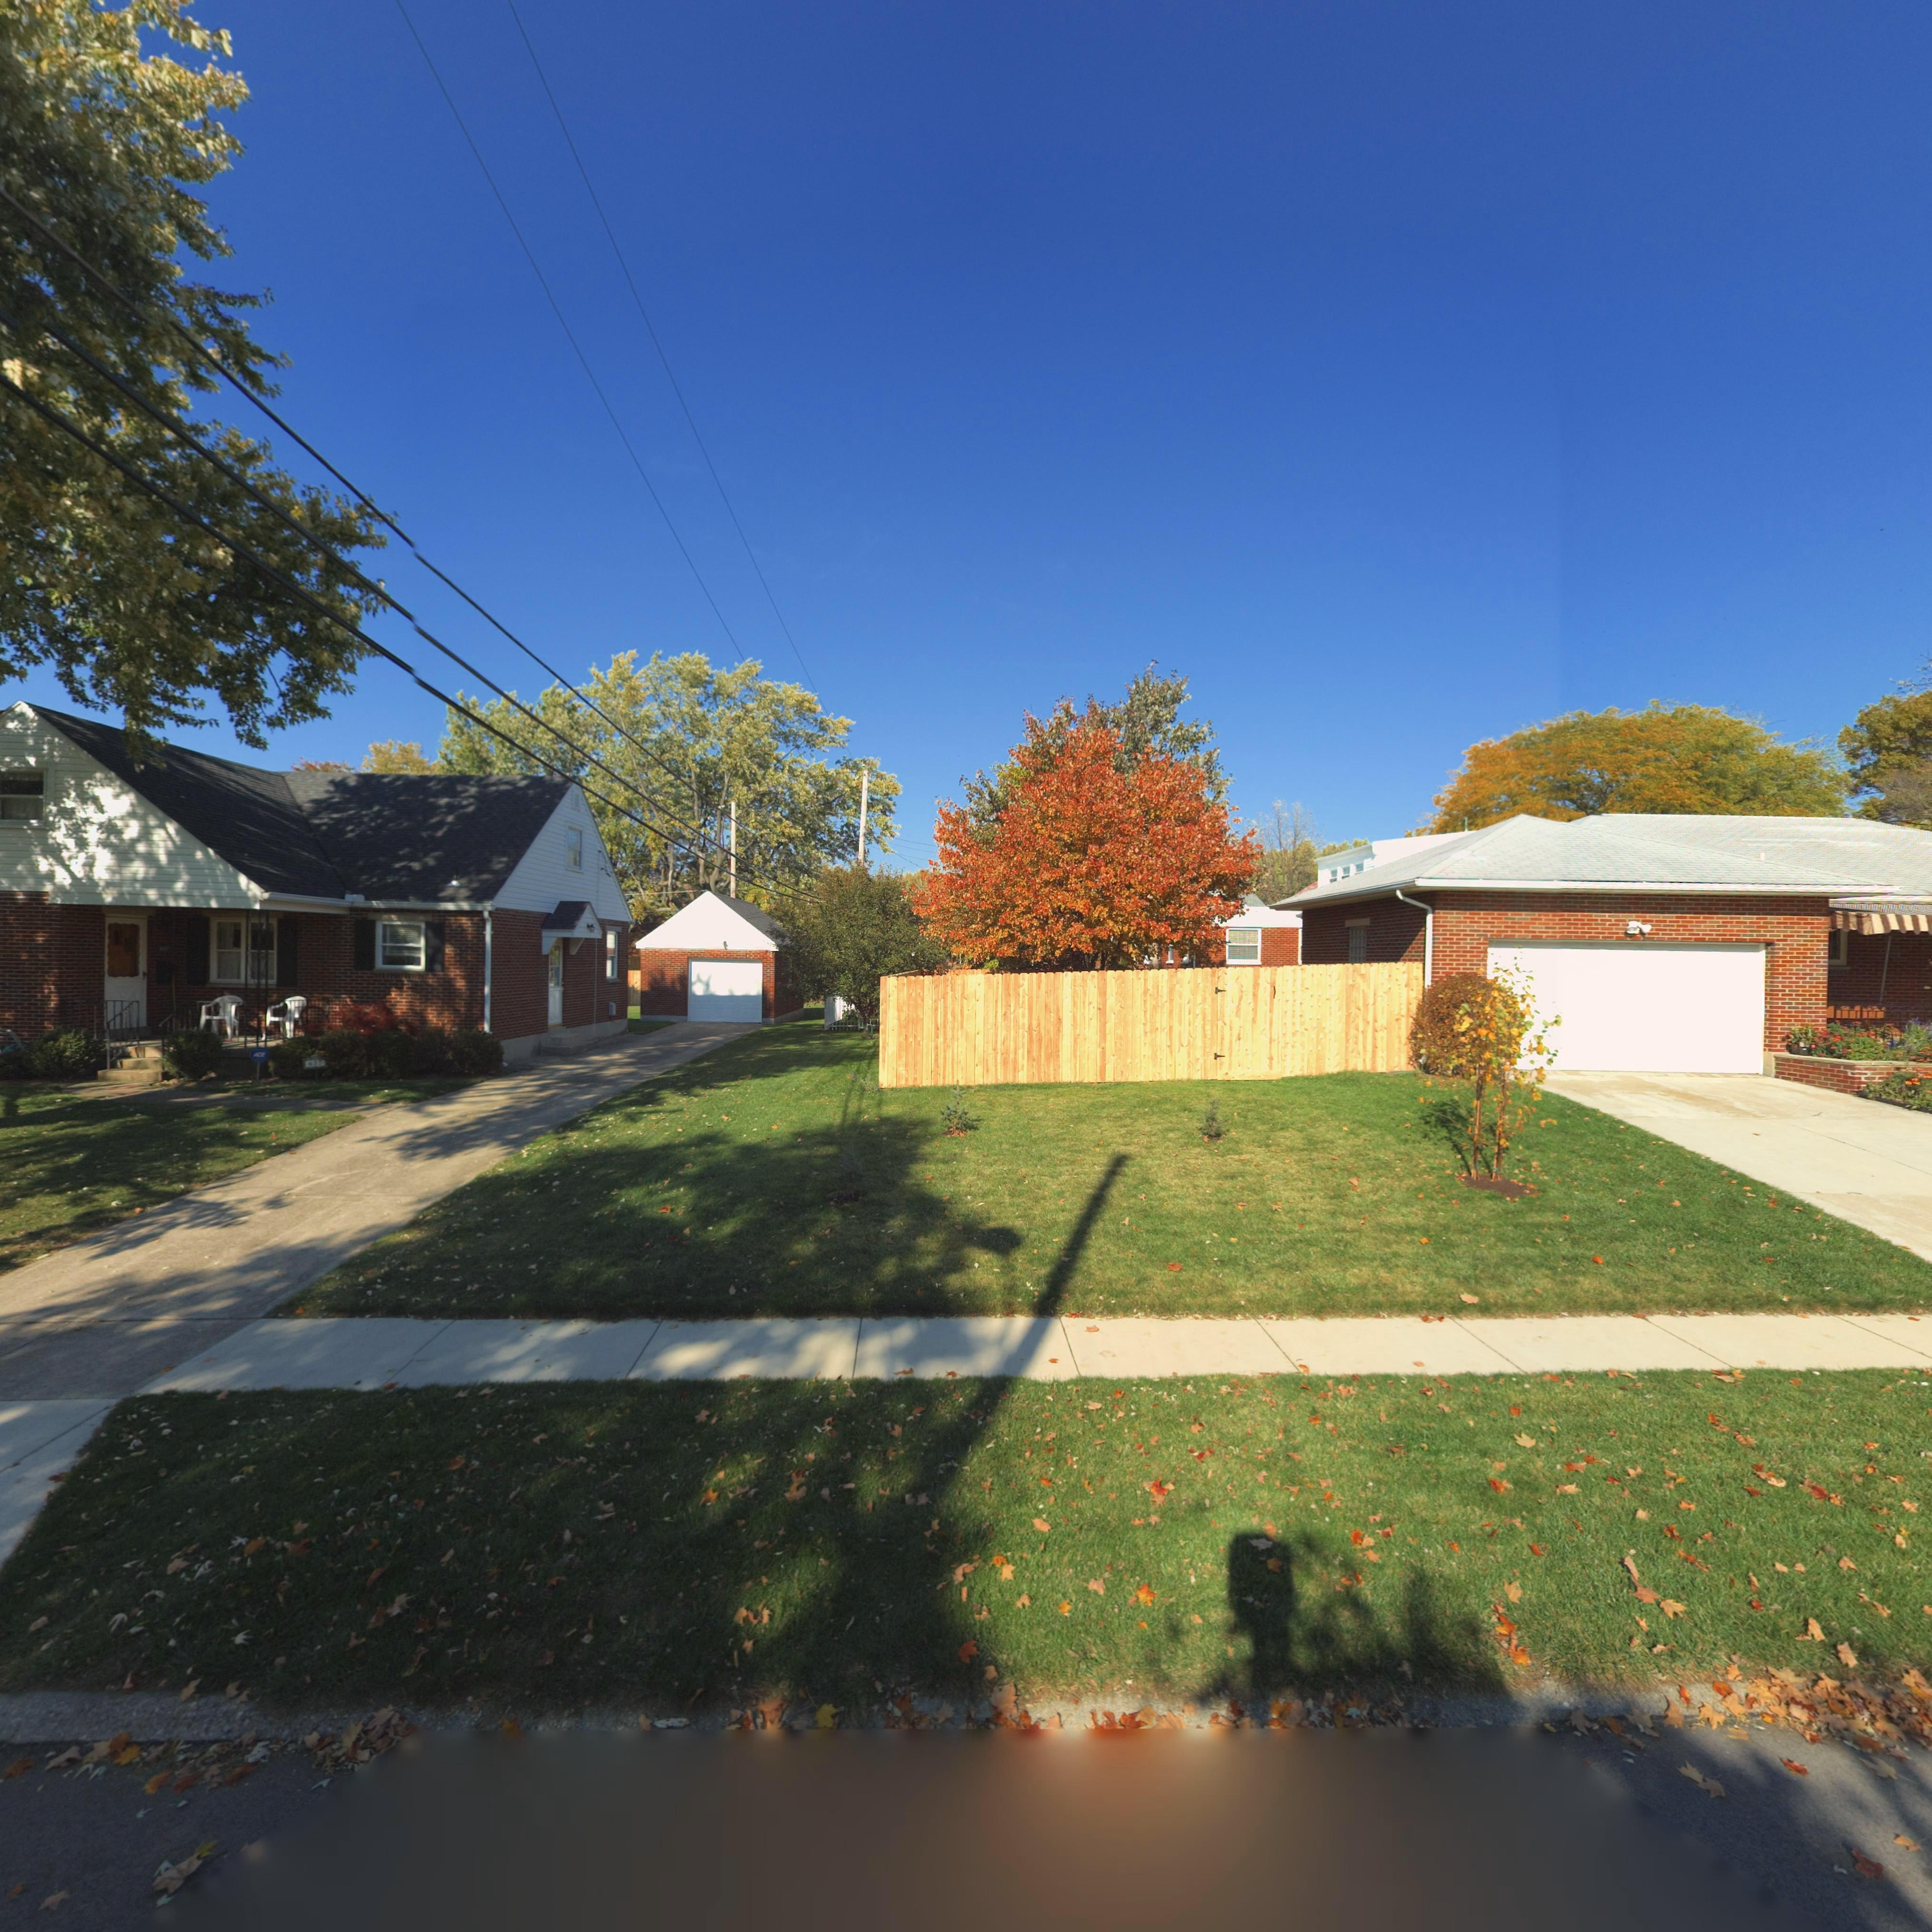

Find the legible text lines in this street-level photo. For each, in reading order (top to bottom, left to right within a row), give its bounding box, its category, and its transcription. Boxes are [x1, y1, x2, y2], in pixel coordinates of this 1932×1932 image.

[252, 1052, 266, 1057] None: ADT
[308, 1060, 323, 1067] StreetNumber: 637